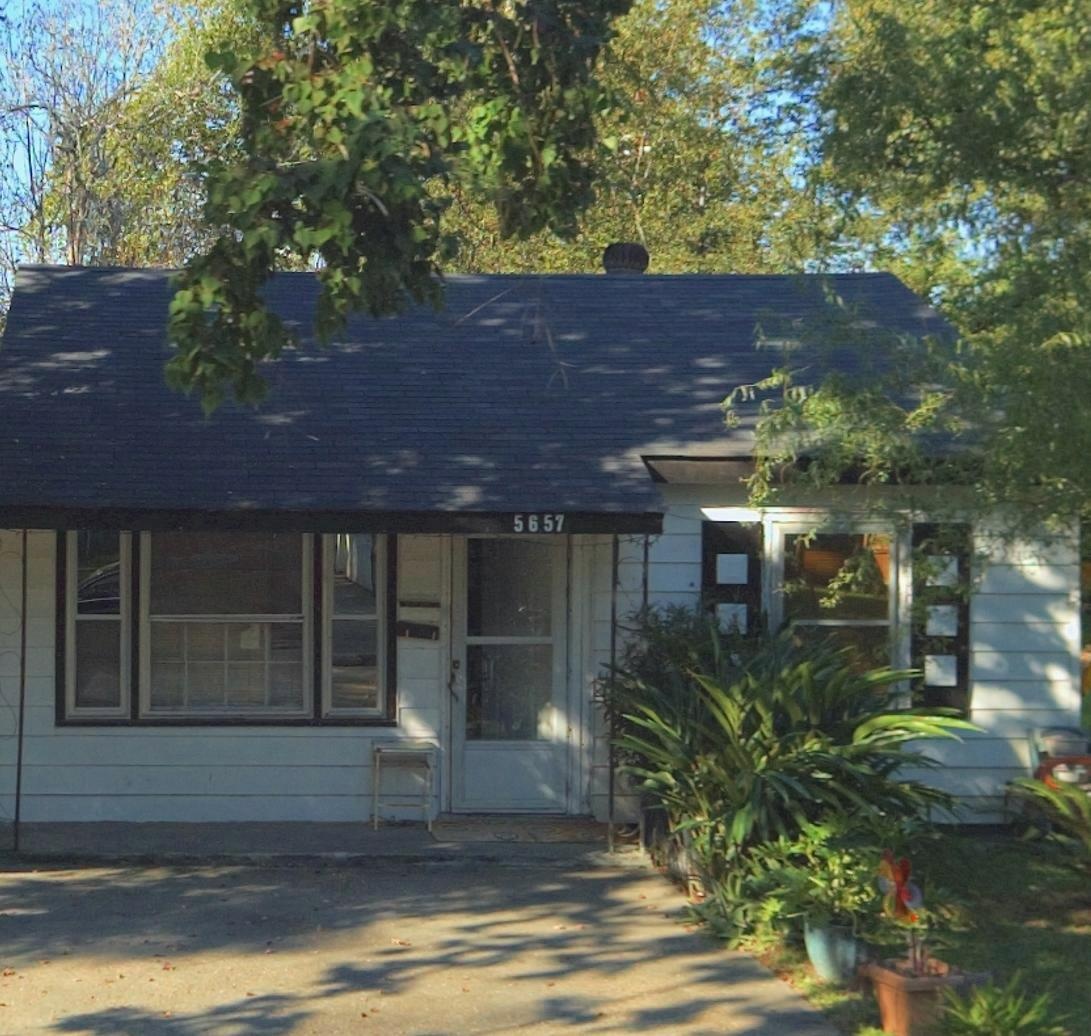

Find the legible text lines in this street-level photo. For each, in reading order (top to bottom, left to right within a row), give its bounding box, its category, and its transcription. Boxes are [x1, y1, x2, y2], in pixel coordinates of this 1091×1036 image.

[513, 514, 565, 533] StreetNumber: 5657